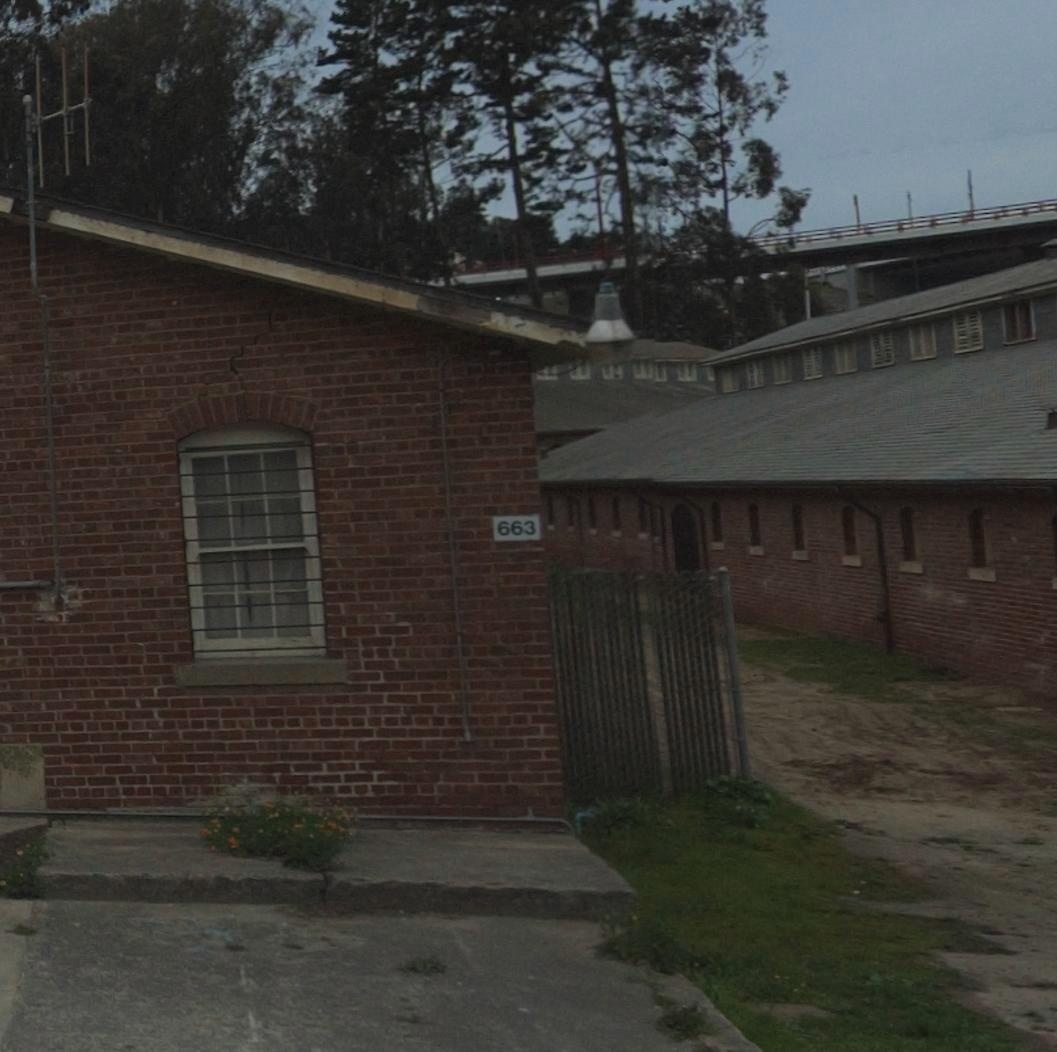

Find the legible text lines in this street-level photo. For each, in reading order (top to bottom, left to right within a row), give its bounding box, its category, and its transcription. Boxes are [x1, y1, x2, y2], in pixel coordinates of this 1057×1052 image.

[495, 519, 537, 539] StreetNumber: 663